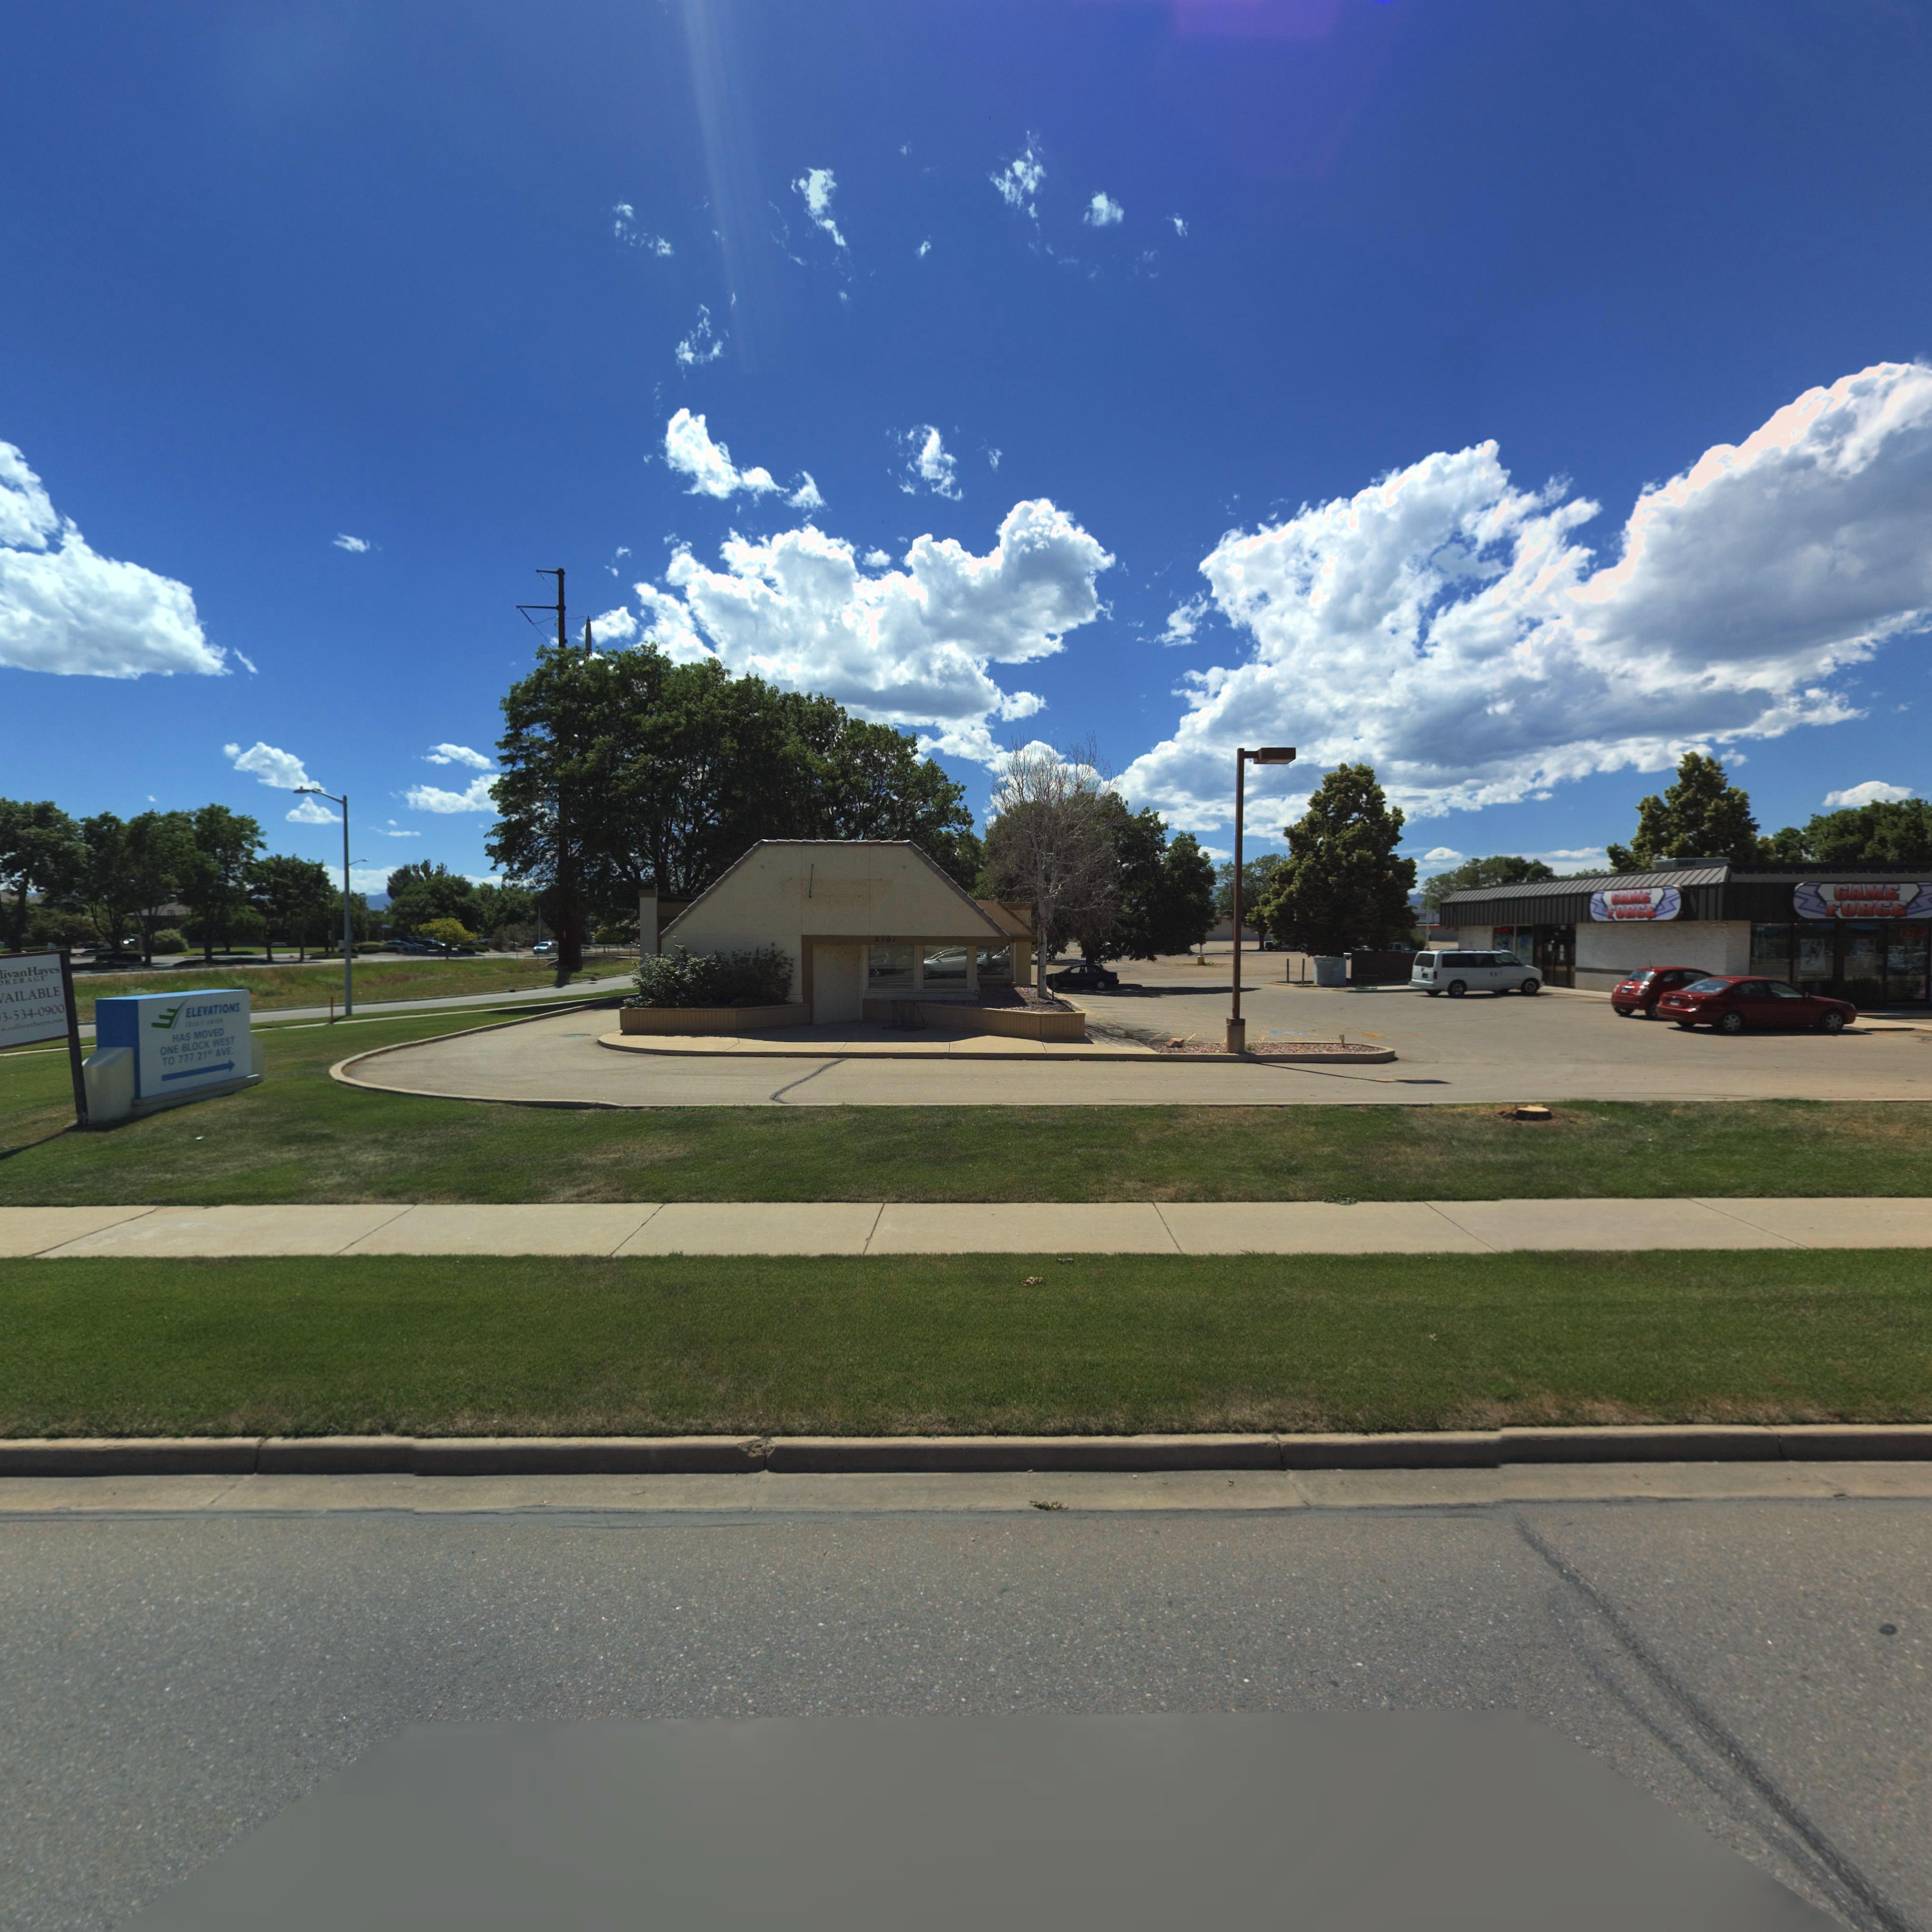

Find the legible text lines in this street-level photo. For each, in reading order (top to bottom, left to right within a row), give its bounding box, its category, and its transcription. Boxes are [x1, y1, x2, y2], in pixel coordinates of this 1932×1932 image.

[1611, 888, 1651, 904] BusinessName: GAME
[1833, 883, 1900, 900] BusinessName: GAME
[1606, 903, 1656, 918] BusinessName: FORCE
[1825, 900, 1907, 917] BusinessName: FORCE
[874, 936, 896, 942] StreetNumber: 2101